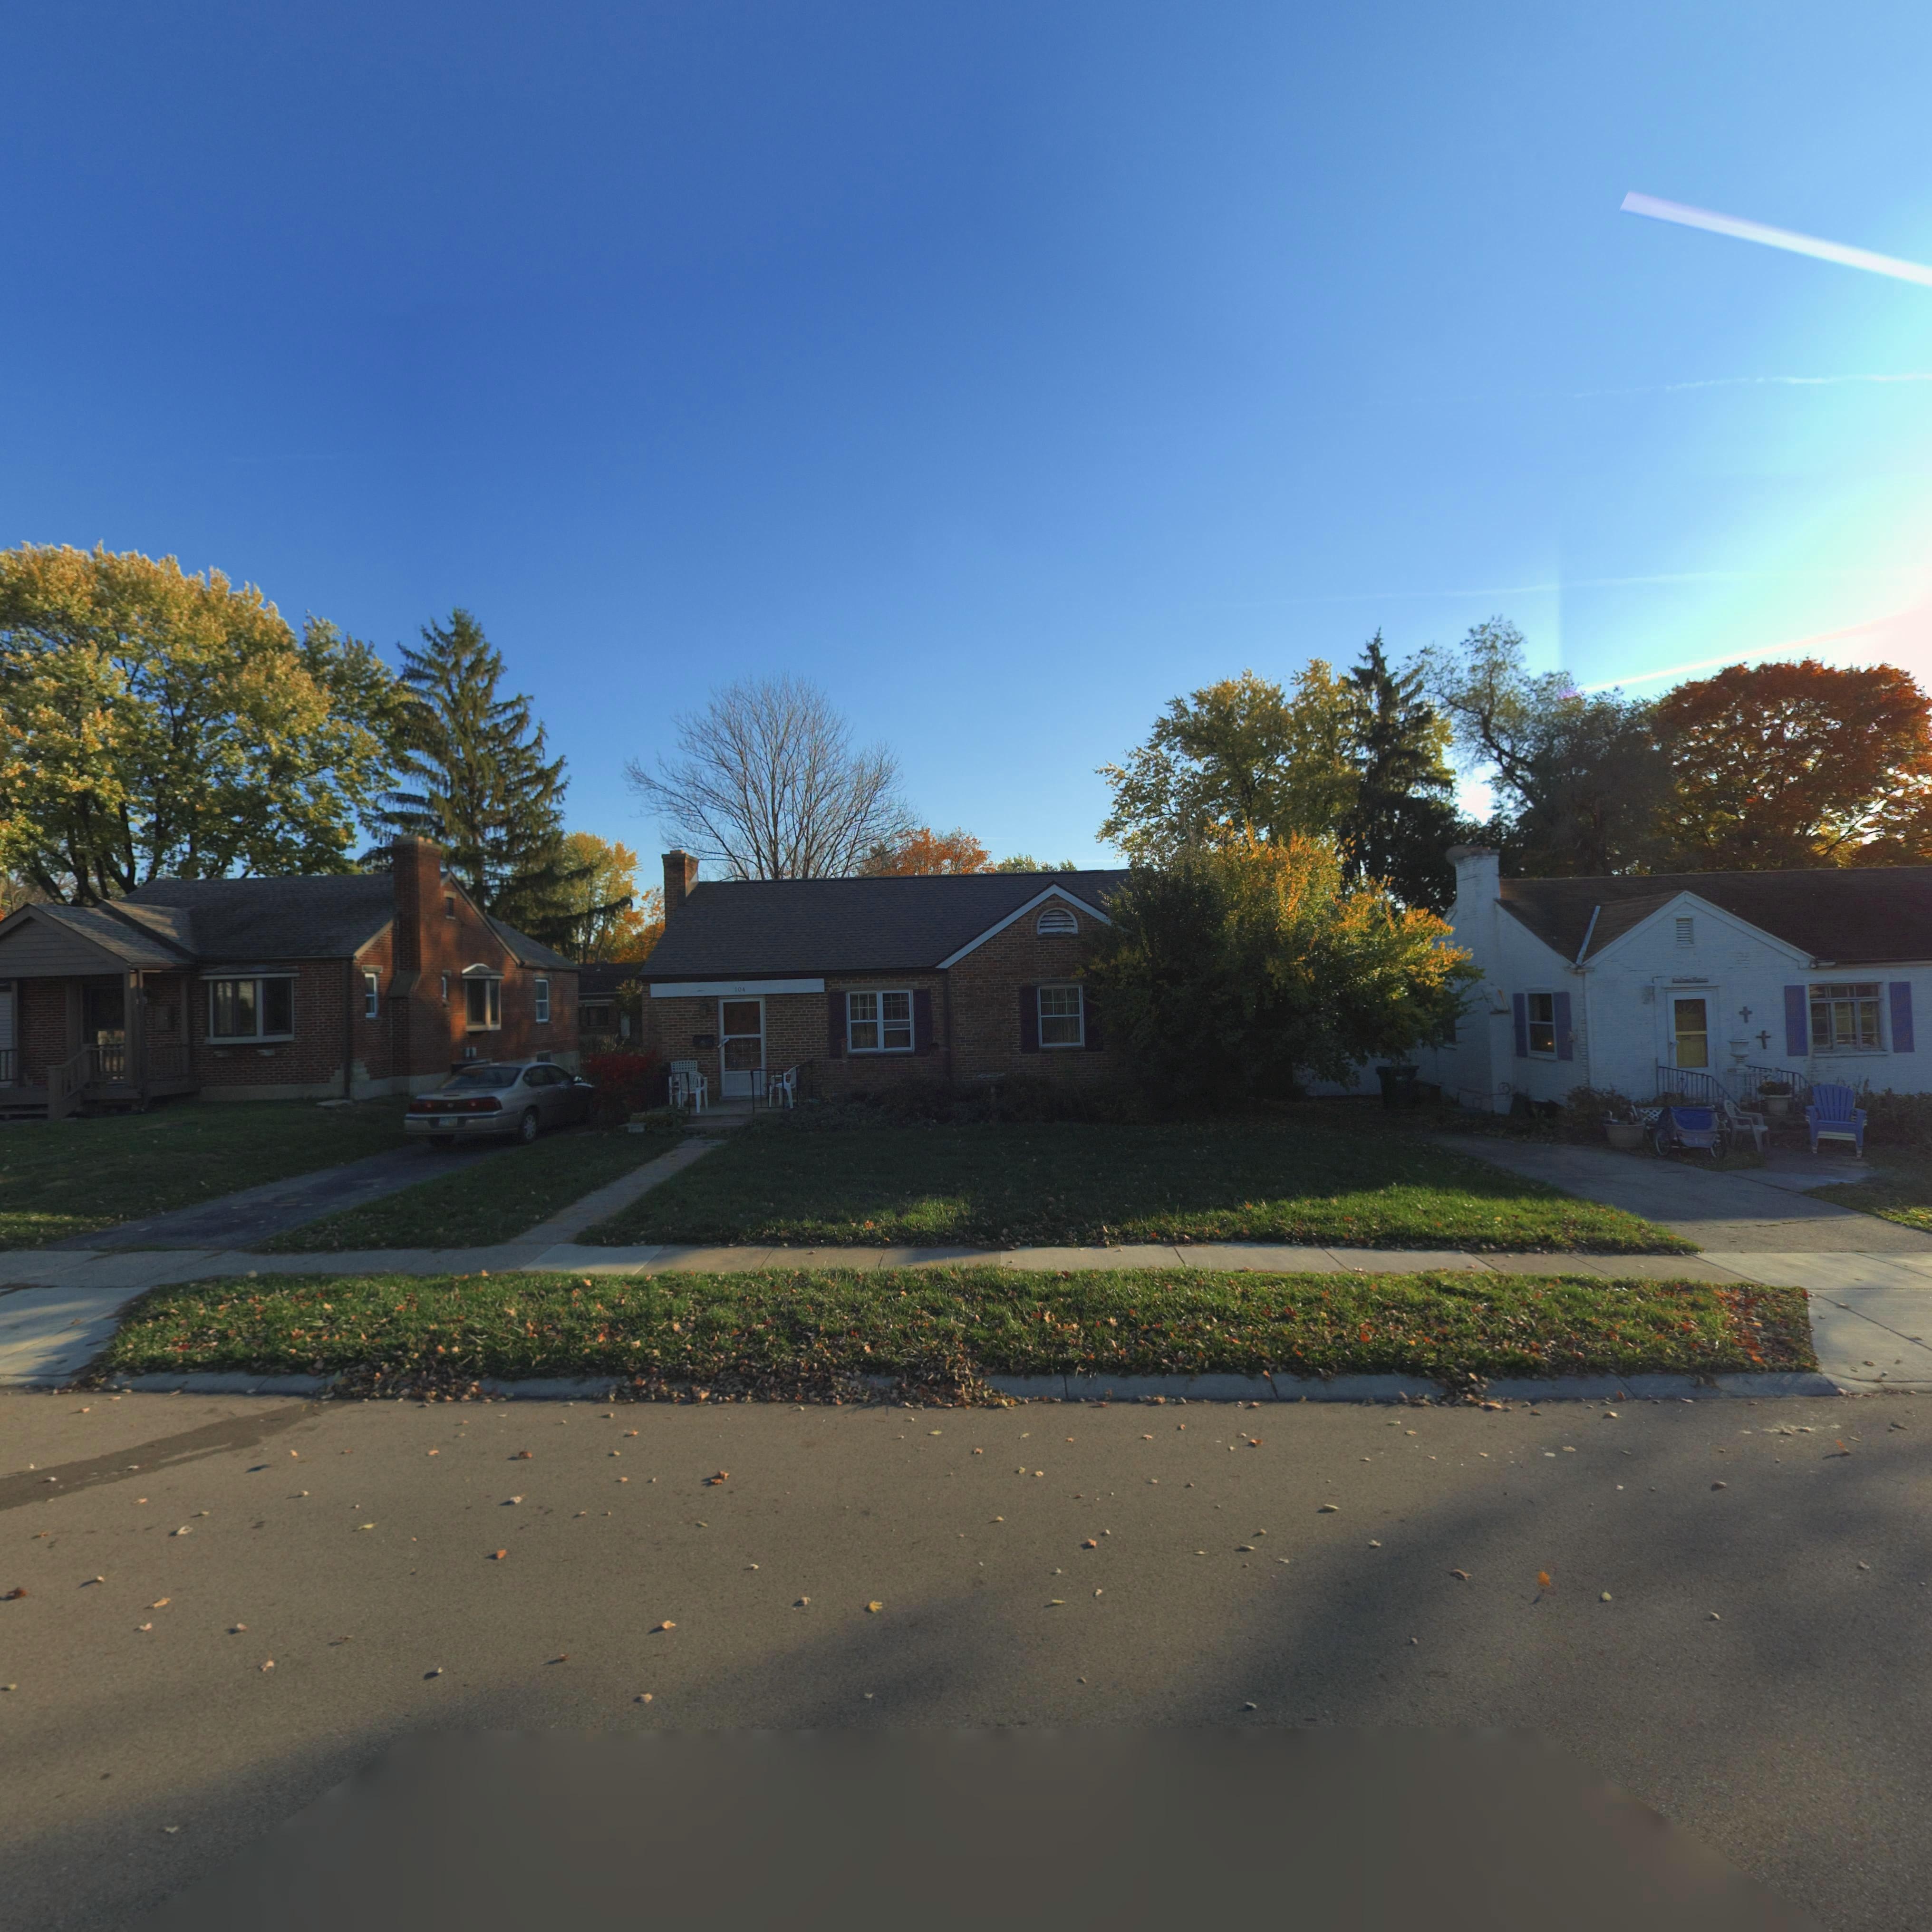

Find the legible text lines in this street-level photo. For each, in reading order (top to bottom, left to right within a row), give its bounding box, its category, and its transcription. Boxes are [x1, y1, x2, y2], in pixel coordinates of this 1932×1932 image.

[734, 986, 746, 993] StreetNumber: 104